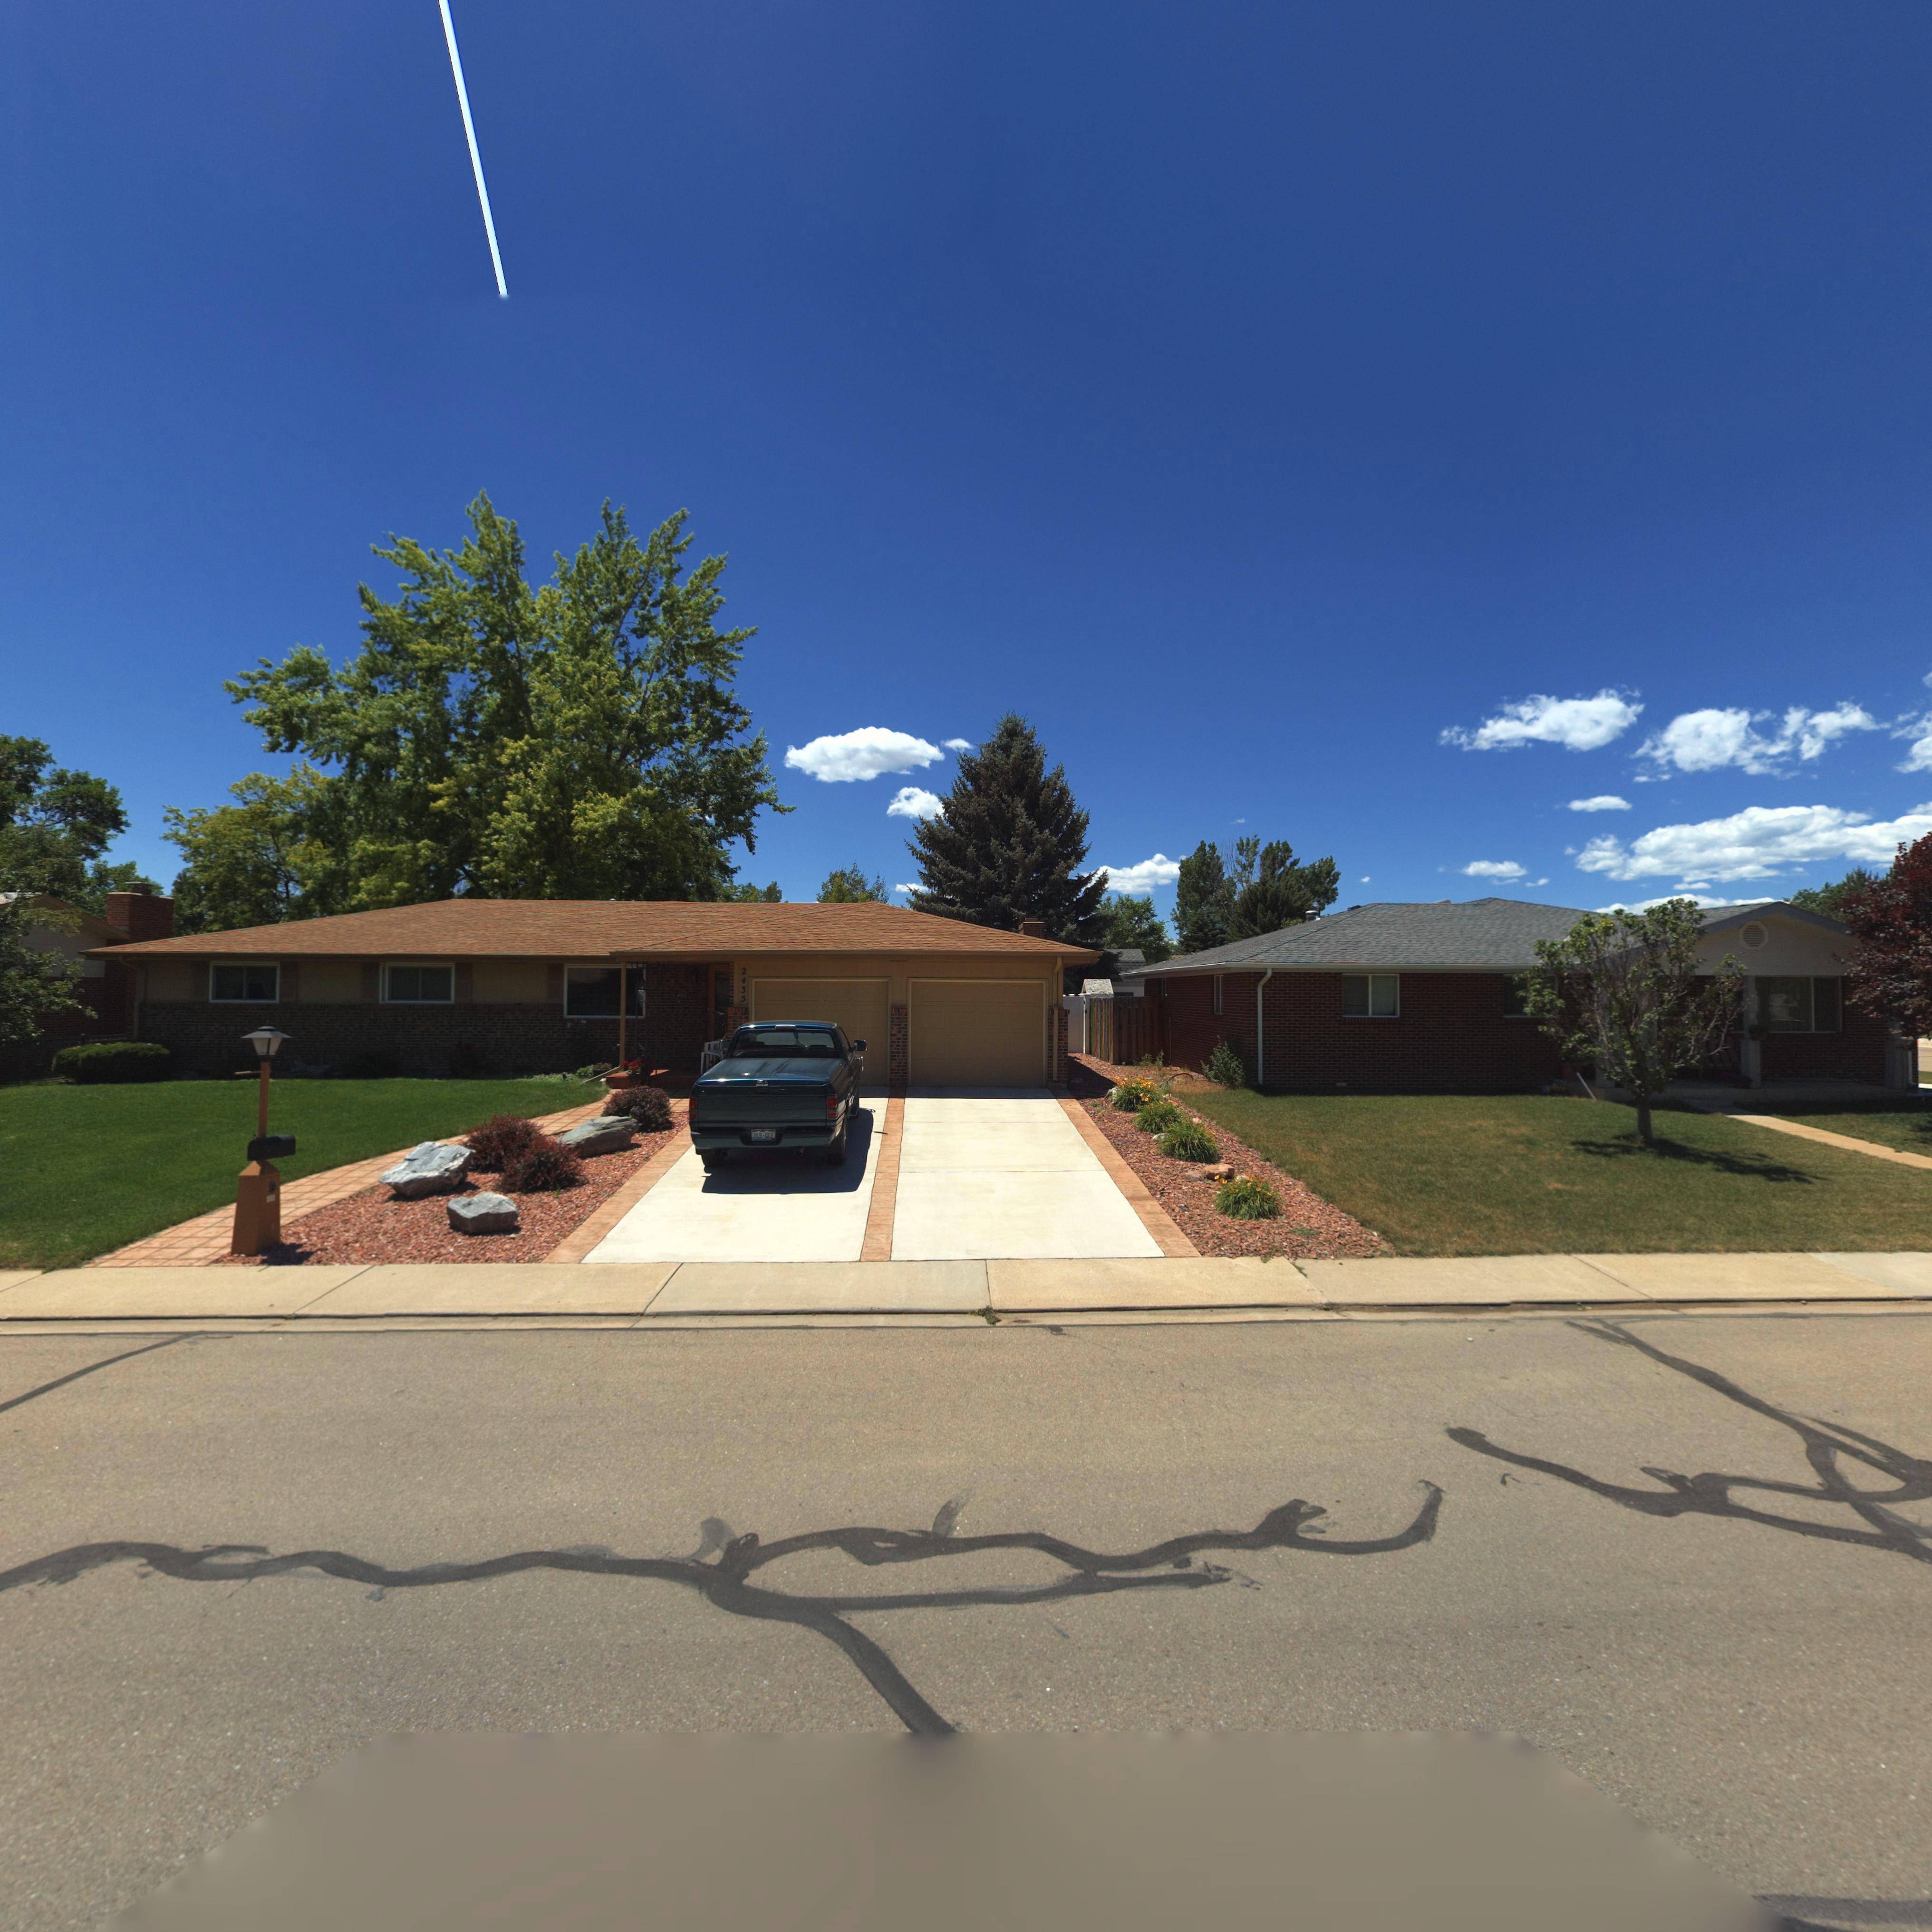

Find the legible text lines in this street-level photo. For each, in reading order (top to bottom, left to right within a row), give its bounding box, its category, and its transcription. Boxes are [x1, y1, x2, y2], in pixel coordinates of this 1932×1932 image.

[740, 967, 747, 1003] StreetNumber: 2435